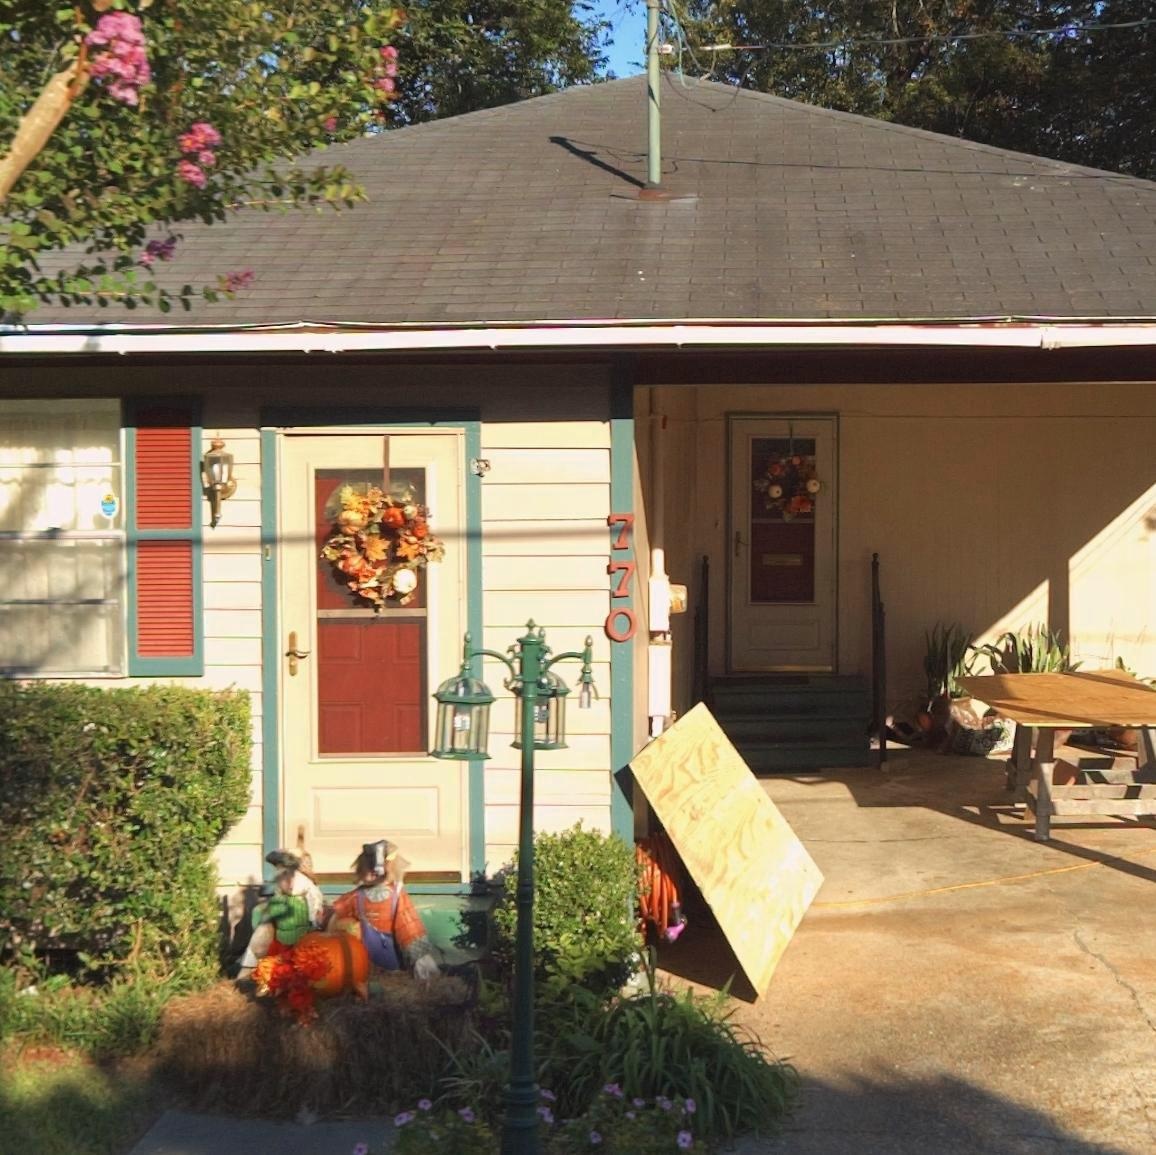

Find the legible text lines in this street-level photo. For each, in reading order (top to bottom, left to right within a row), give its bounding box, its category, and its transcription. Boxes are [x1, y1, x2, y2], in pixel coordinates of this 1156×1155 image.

[602, 510, 640, 645] StreetNumber: 770